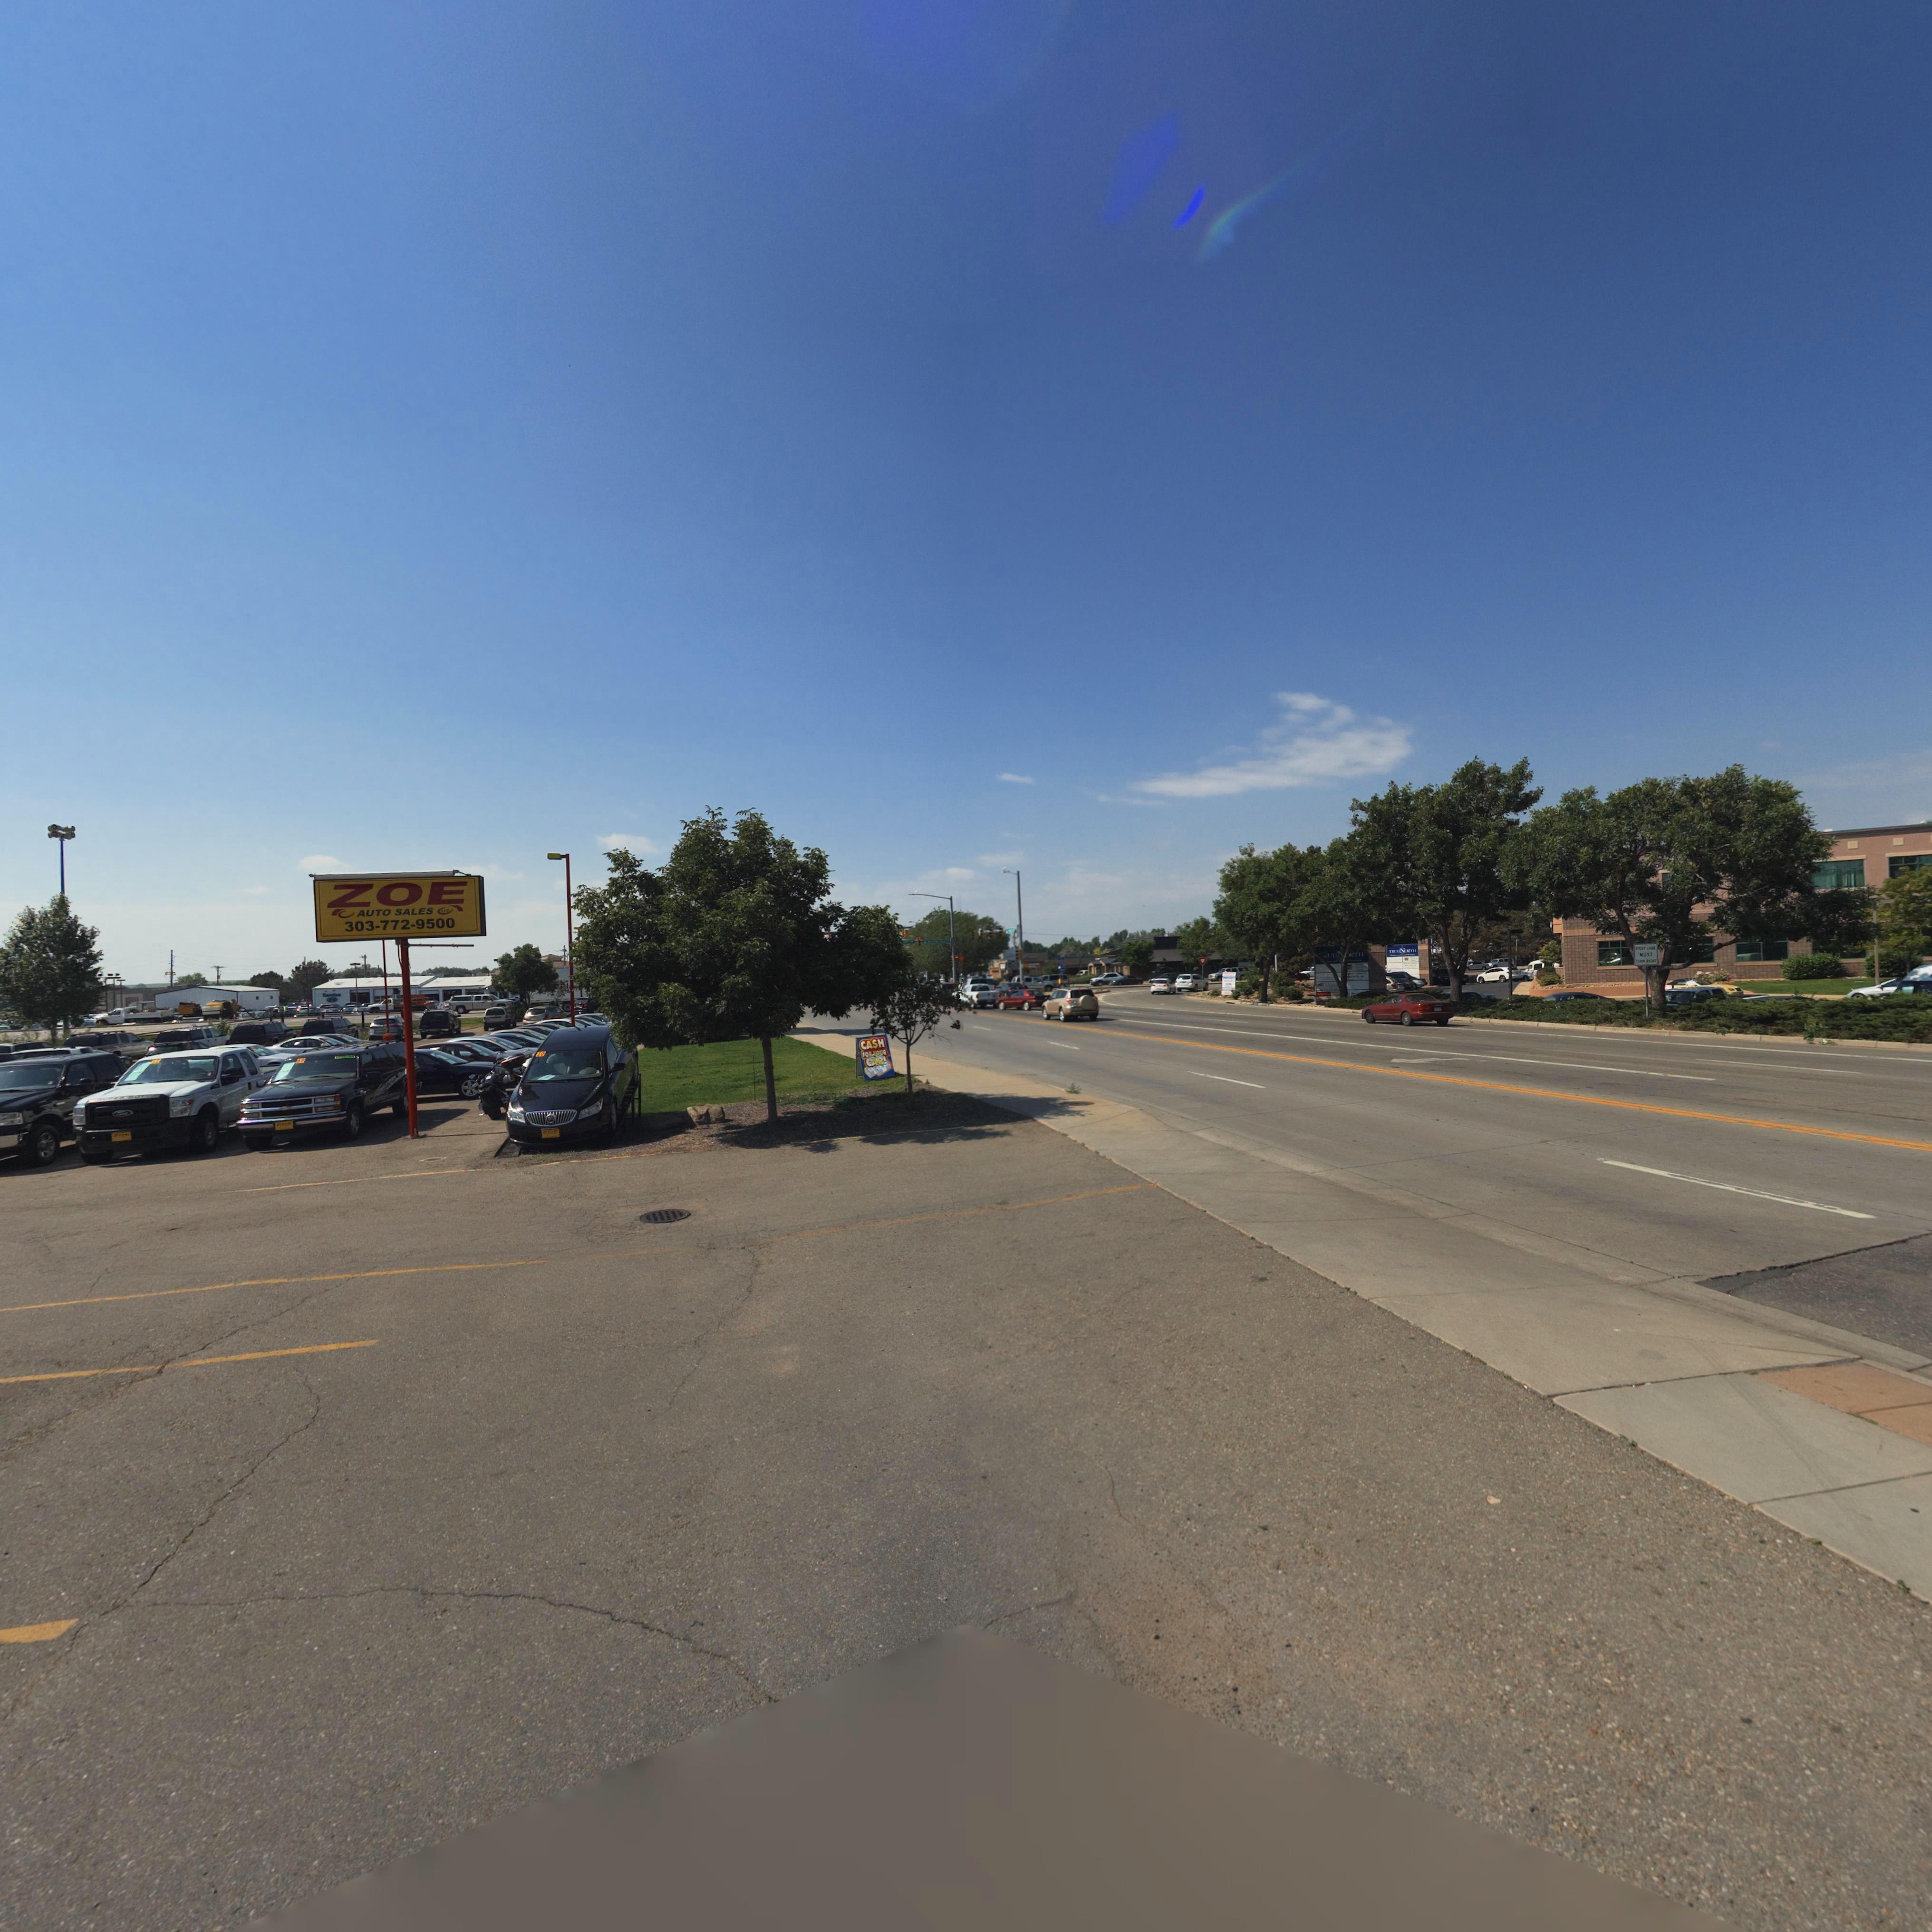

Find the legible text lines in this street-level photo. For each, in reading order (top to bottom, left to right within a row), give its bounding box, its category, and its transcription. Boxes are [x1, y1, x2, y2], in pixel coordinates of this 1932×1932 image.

[326, 879, 470, 909] BusinessName: ZOE
[356, 907, 435, 917] BusinessName: AUTO SALES